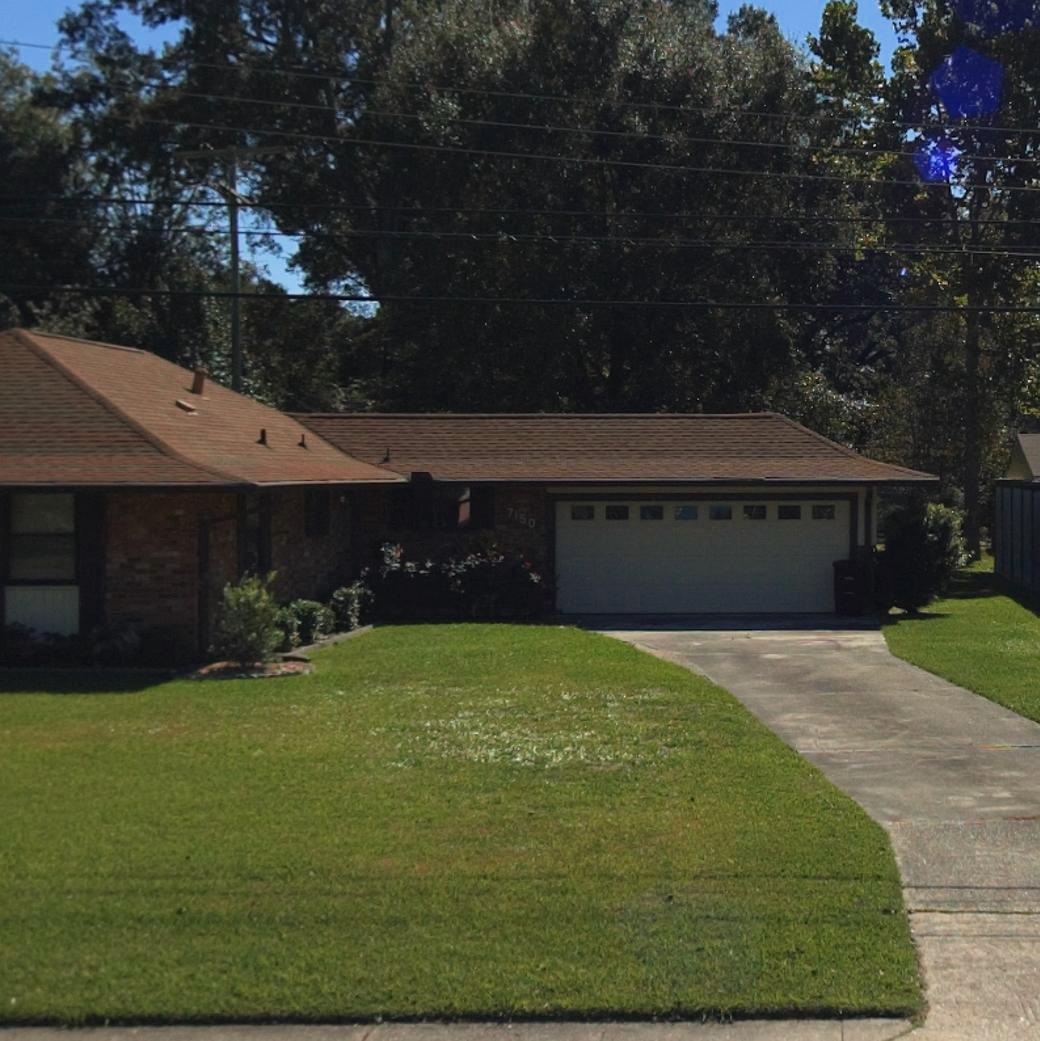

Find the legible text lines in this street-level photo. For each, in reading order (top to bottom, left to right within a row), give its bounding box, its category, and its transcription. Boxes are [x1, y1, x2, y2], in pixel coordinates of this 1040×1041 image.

[502, 505, 537, 532] StreetNumber: 7150